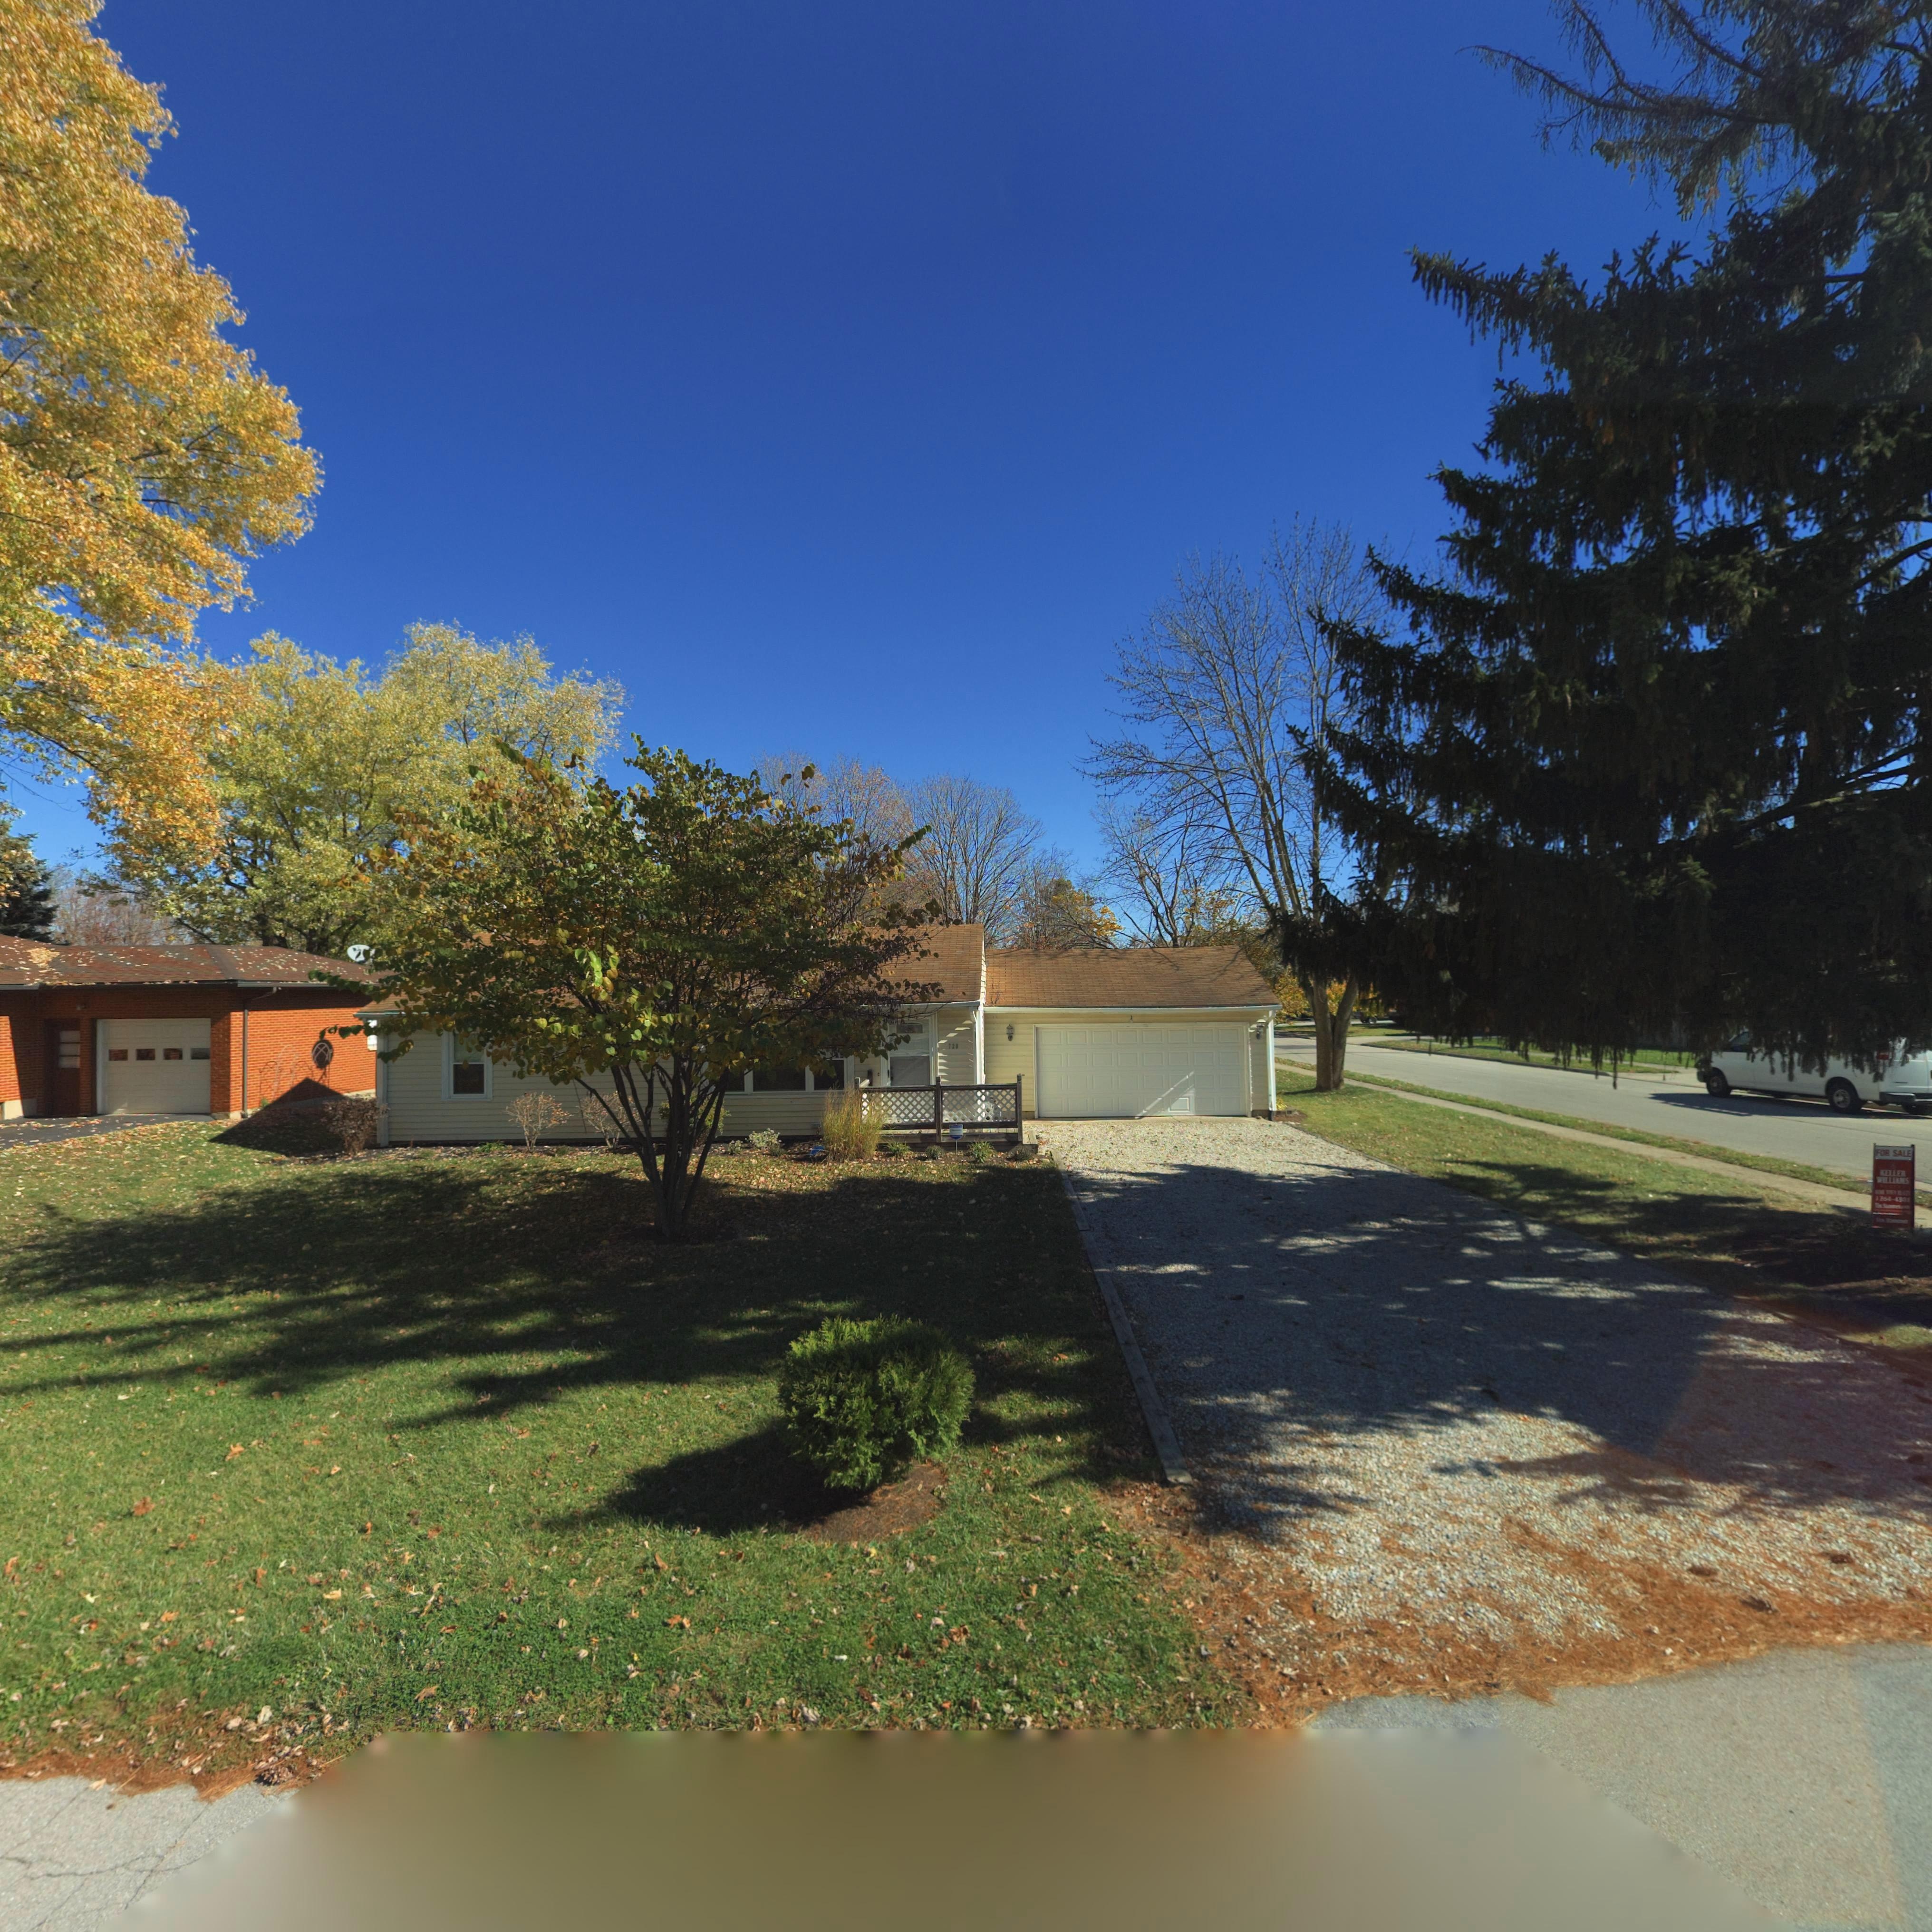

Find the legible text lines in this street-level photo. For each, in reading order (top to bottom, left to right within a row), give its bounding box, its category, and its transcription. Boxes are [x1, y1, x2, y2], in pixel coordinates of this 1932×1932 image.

[947, 1043, 959, 1049] StreetNumber: 720